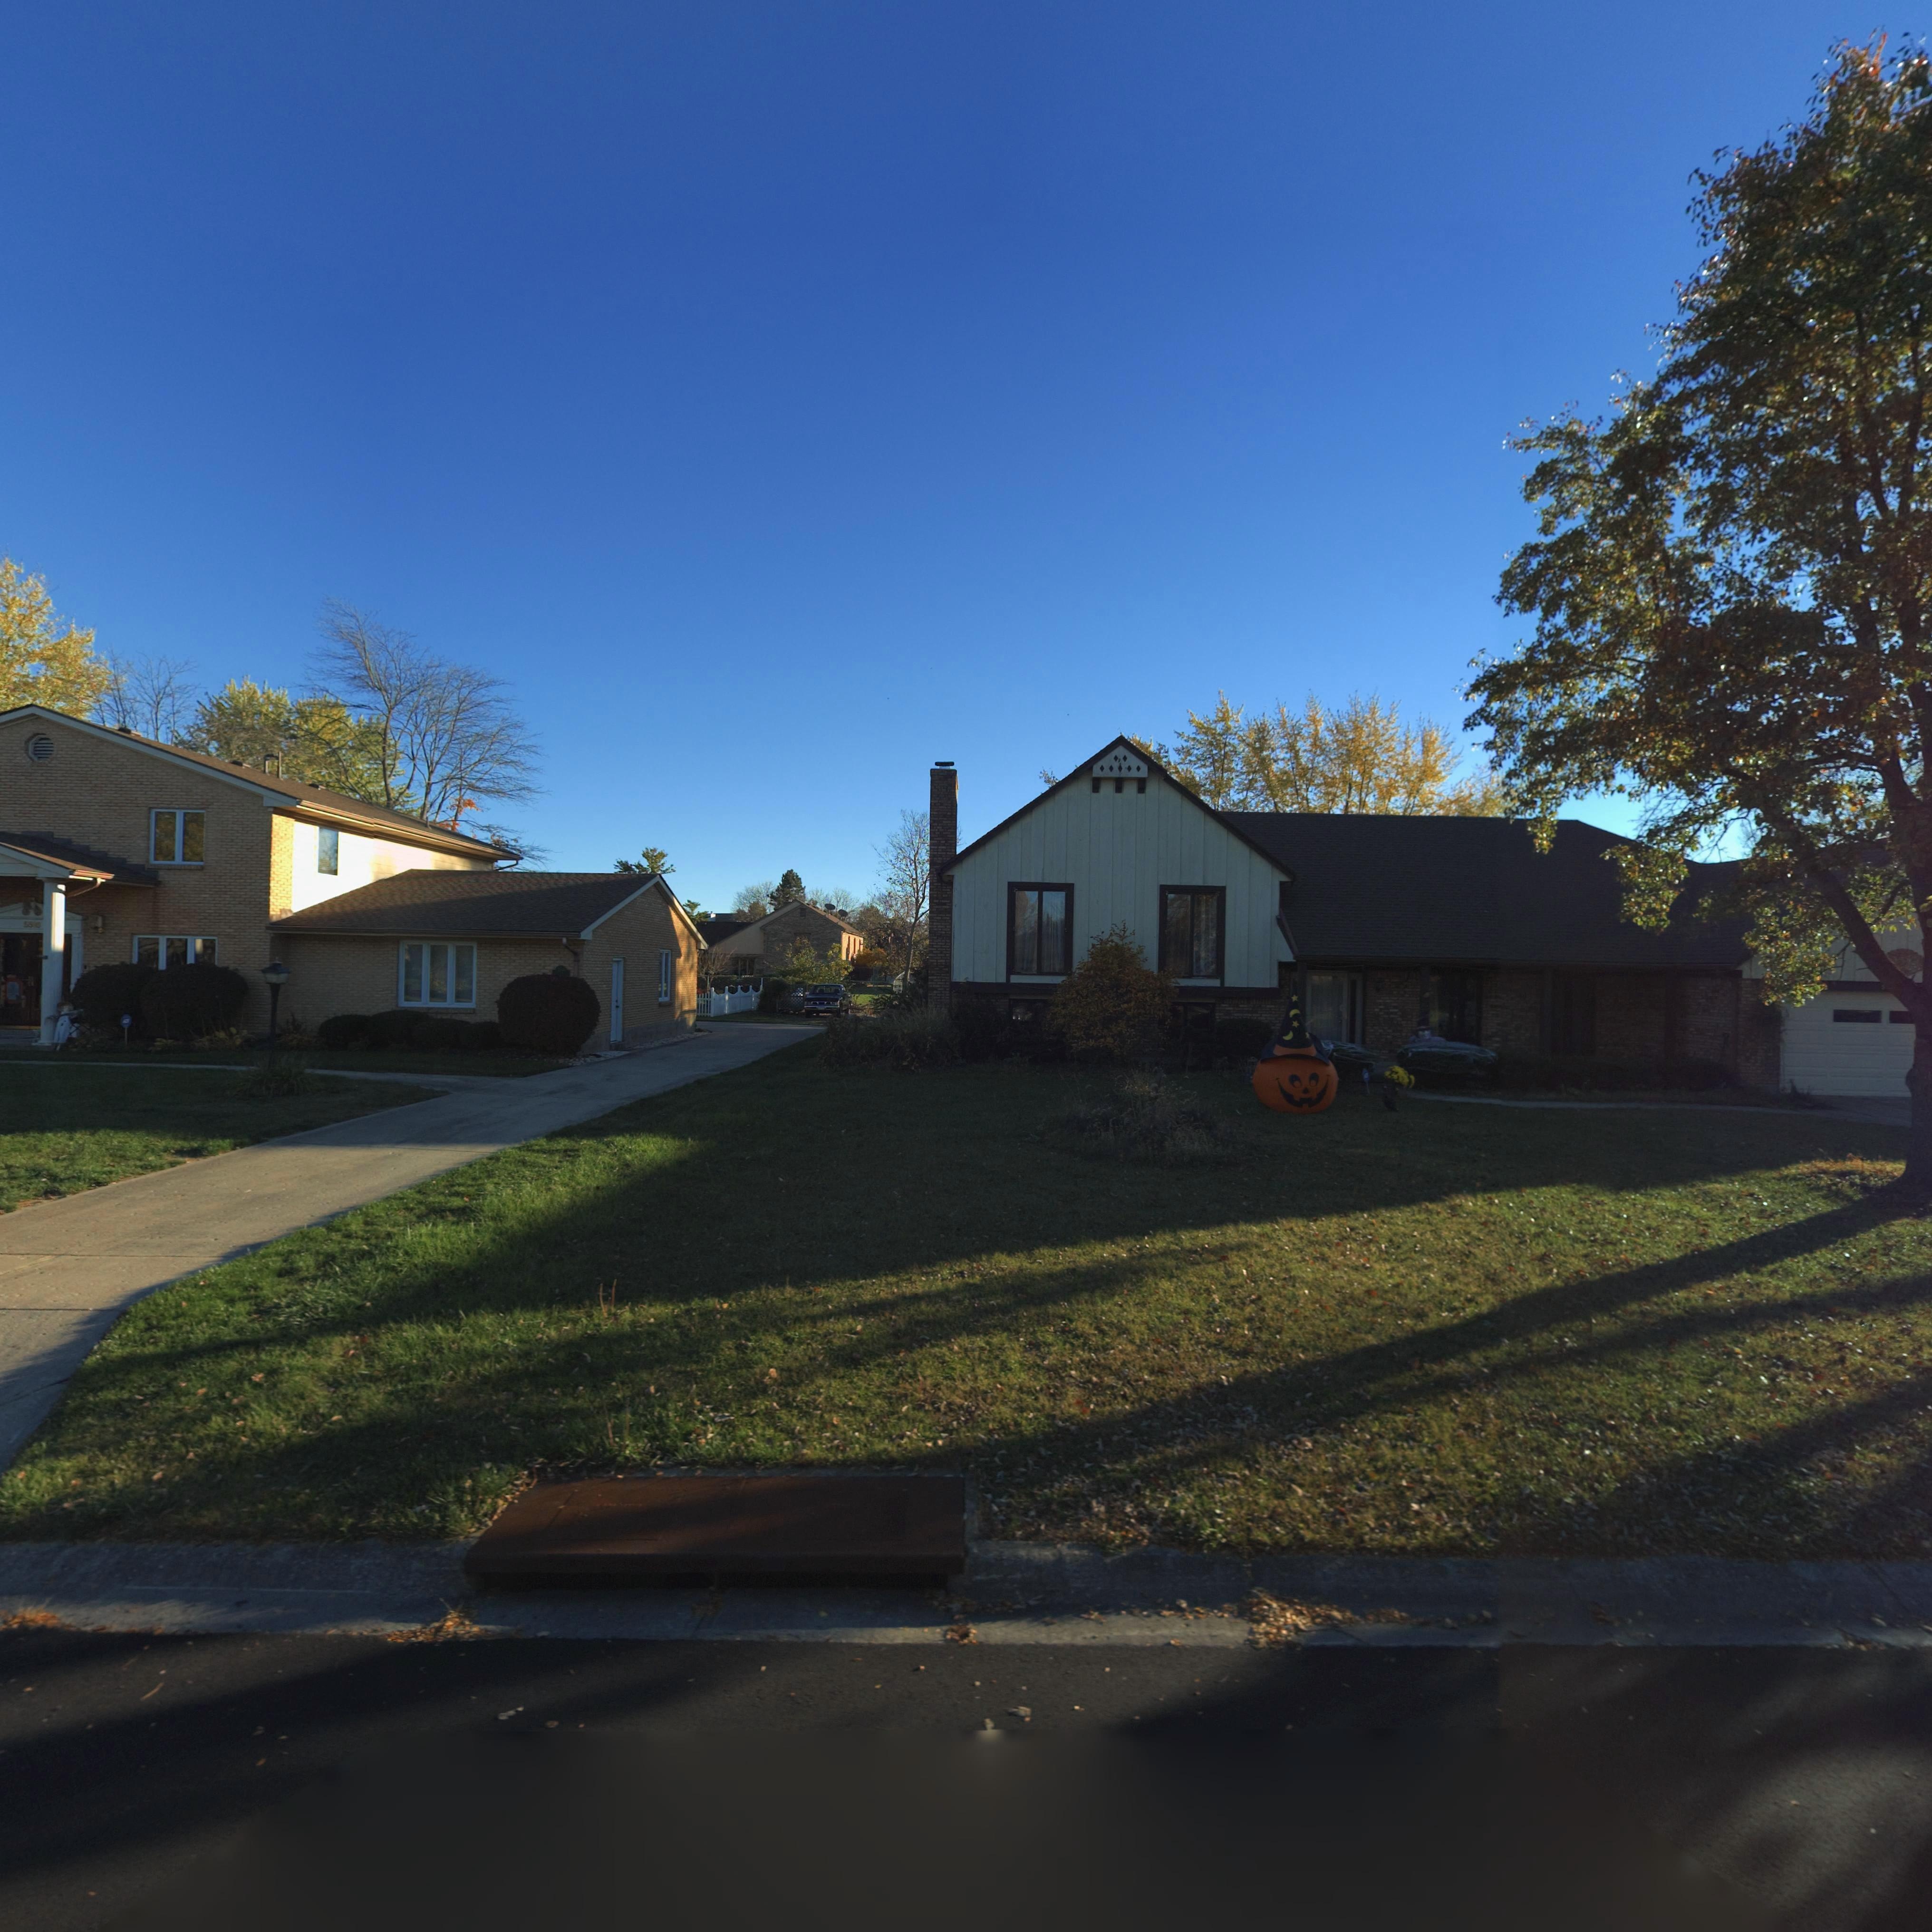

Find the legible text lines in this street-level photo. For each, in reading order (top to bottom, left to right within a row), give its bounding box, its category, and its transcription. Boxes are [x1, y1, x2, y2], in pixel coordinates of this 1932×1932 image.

[22, 920, 42, 929] StreetNumber: 5***